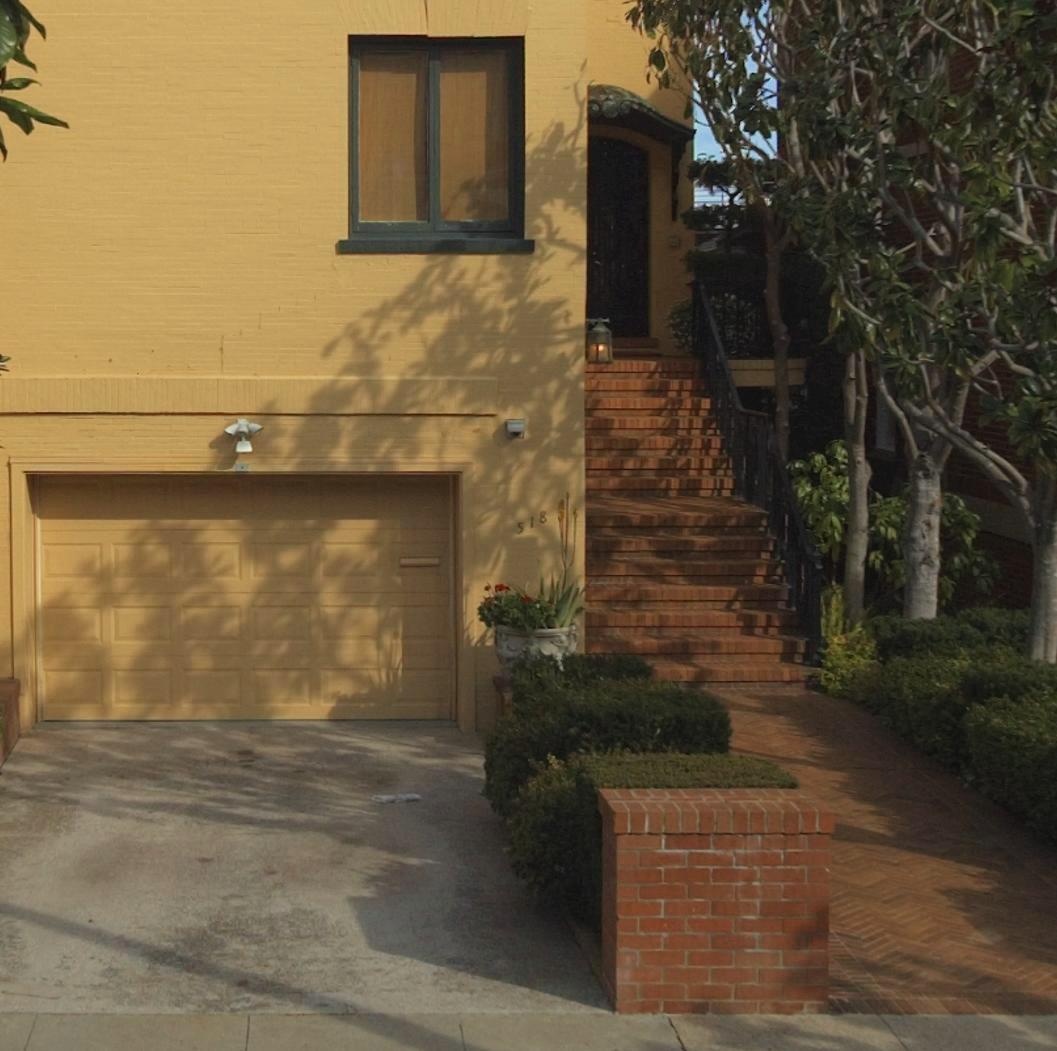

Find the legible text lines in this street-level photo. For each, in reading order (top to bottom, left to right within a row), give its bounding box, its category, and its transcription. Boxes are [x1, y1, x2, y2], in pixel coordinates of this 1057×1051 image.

[515, 509, 549, 537] StreetNumber: 518